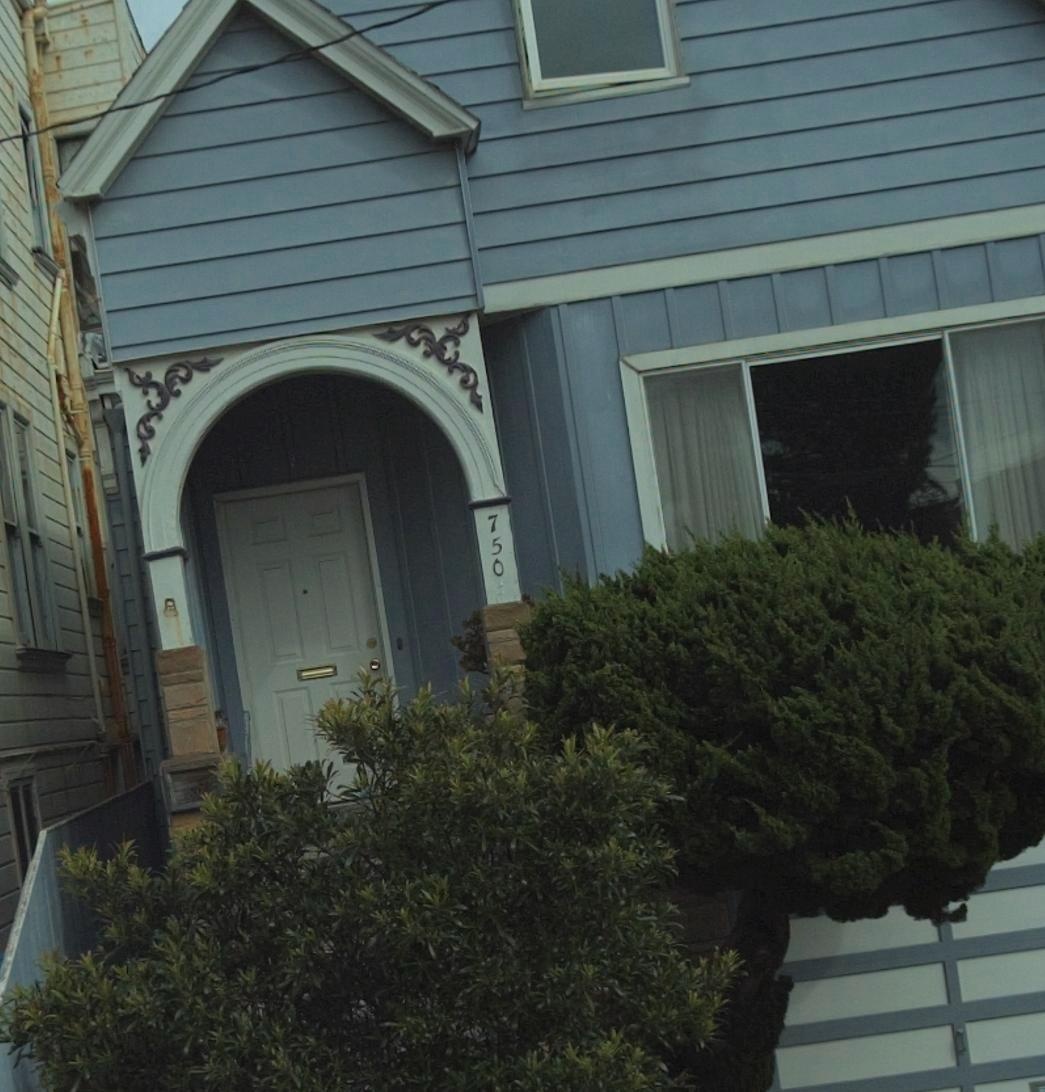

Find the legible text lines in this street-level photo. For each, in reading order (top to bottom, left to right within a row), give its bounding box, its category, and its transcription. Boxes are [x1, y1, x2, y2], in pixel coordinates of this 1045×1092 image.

[486, 511, 507, 580] StreetNumber: 750